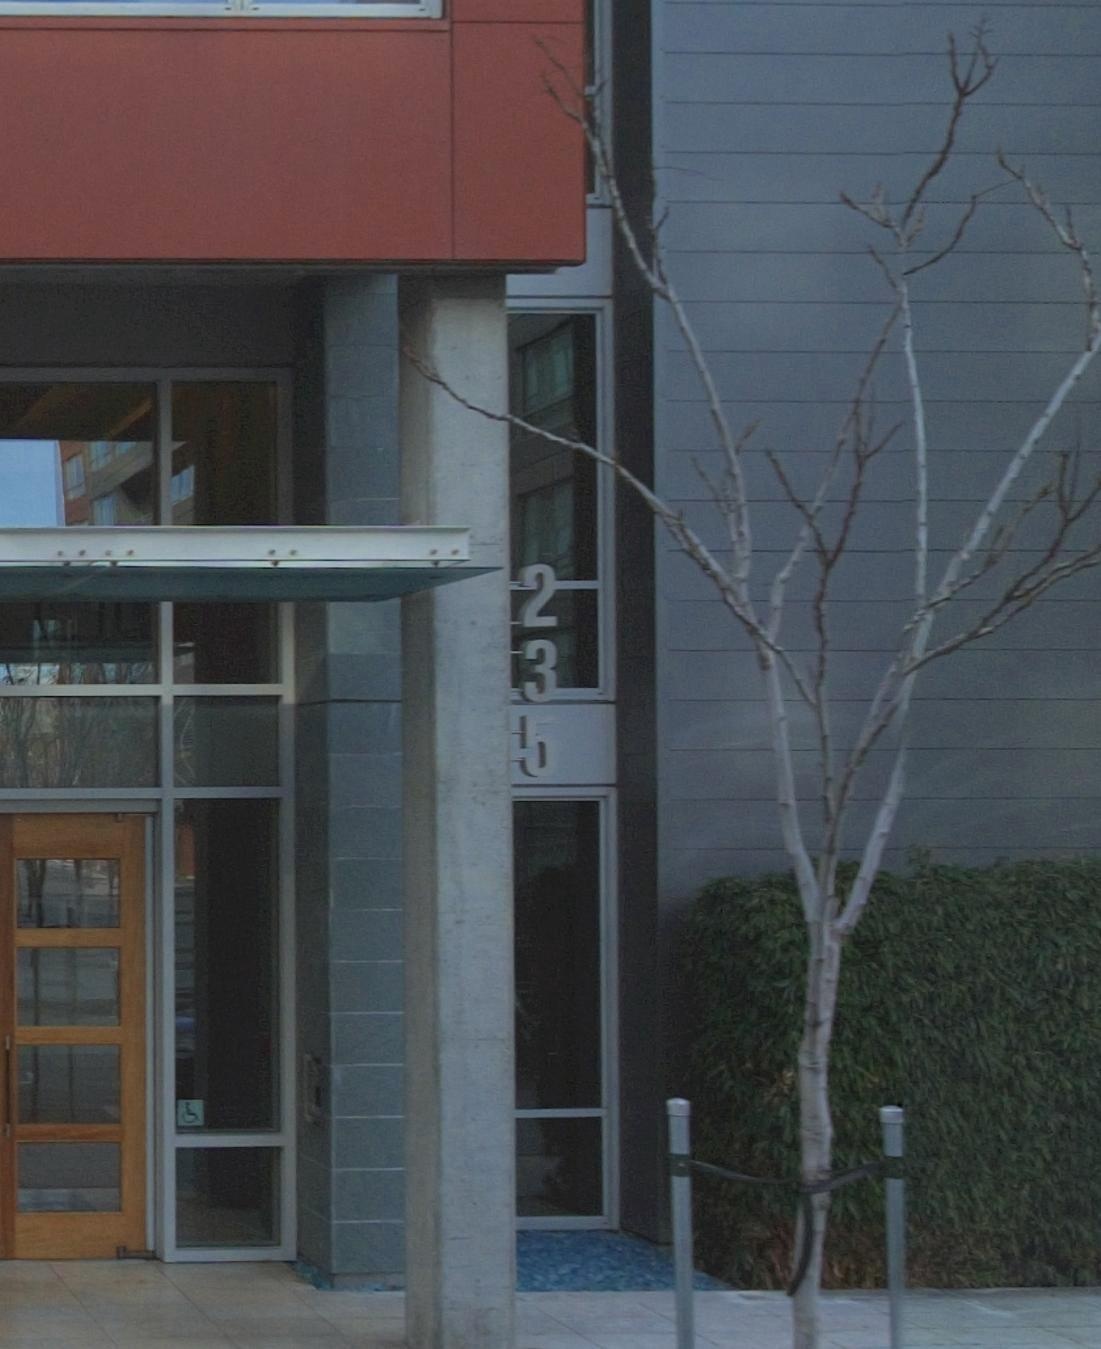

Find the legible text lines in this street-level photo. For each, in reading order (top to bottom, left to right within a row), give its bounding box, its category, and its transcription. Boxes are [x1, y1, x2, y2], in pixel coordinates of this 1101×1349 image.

[520, 561, 559, 781] StreetNumber: 235